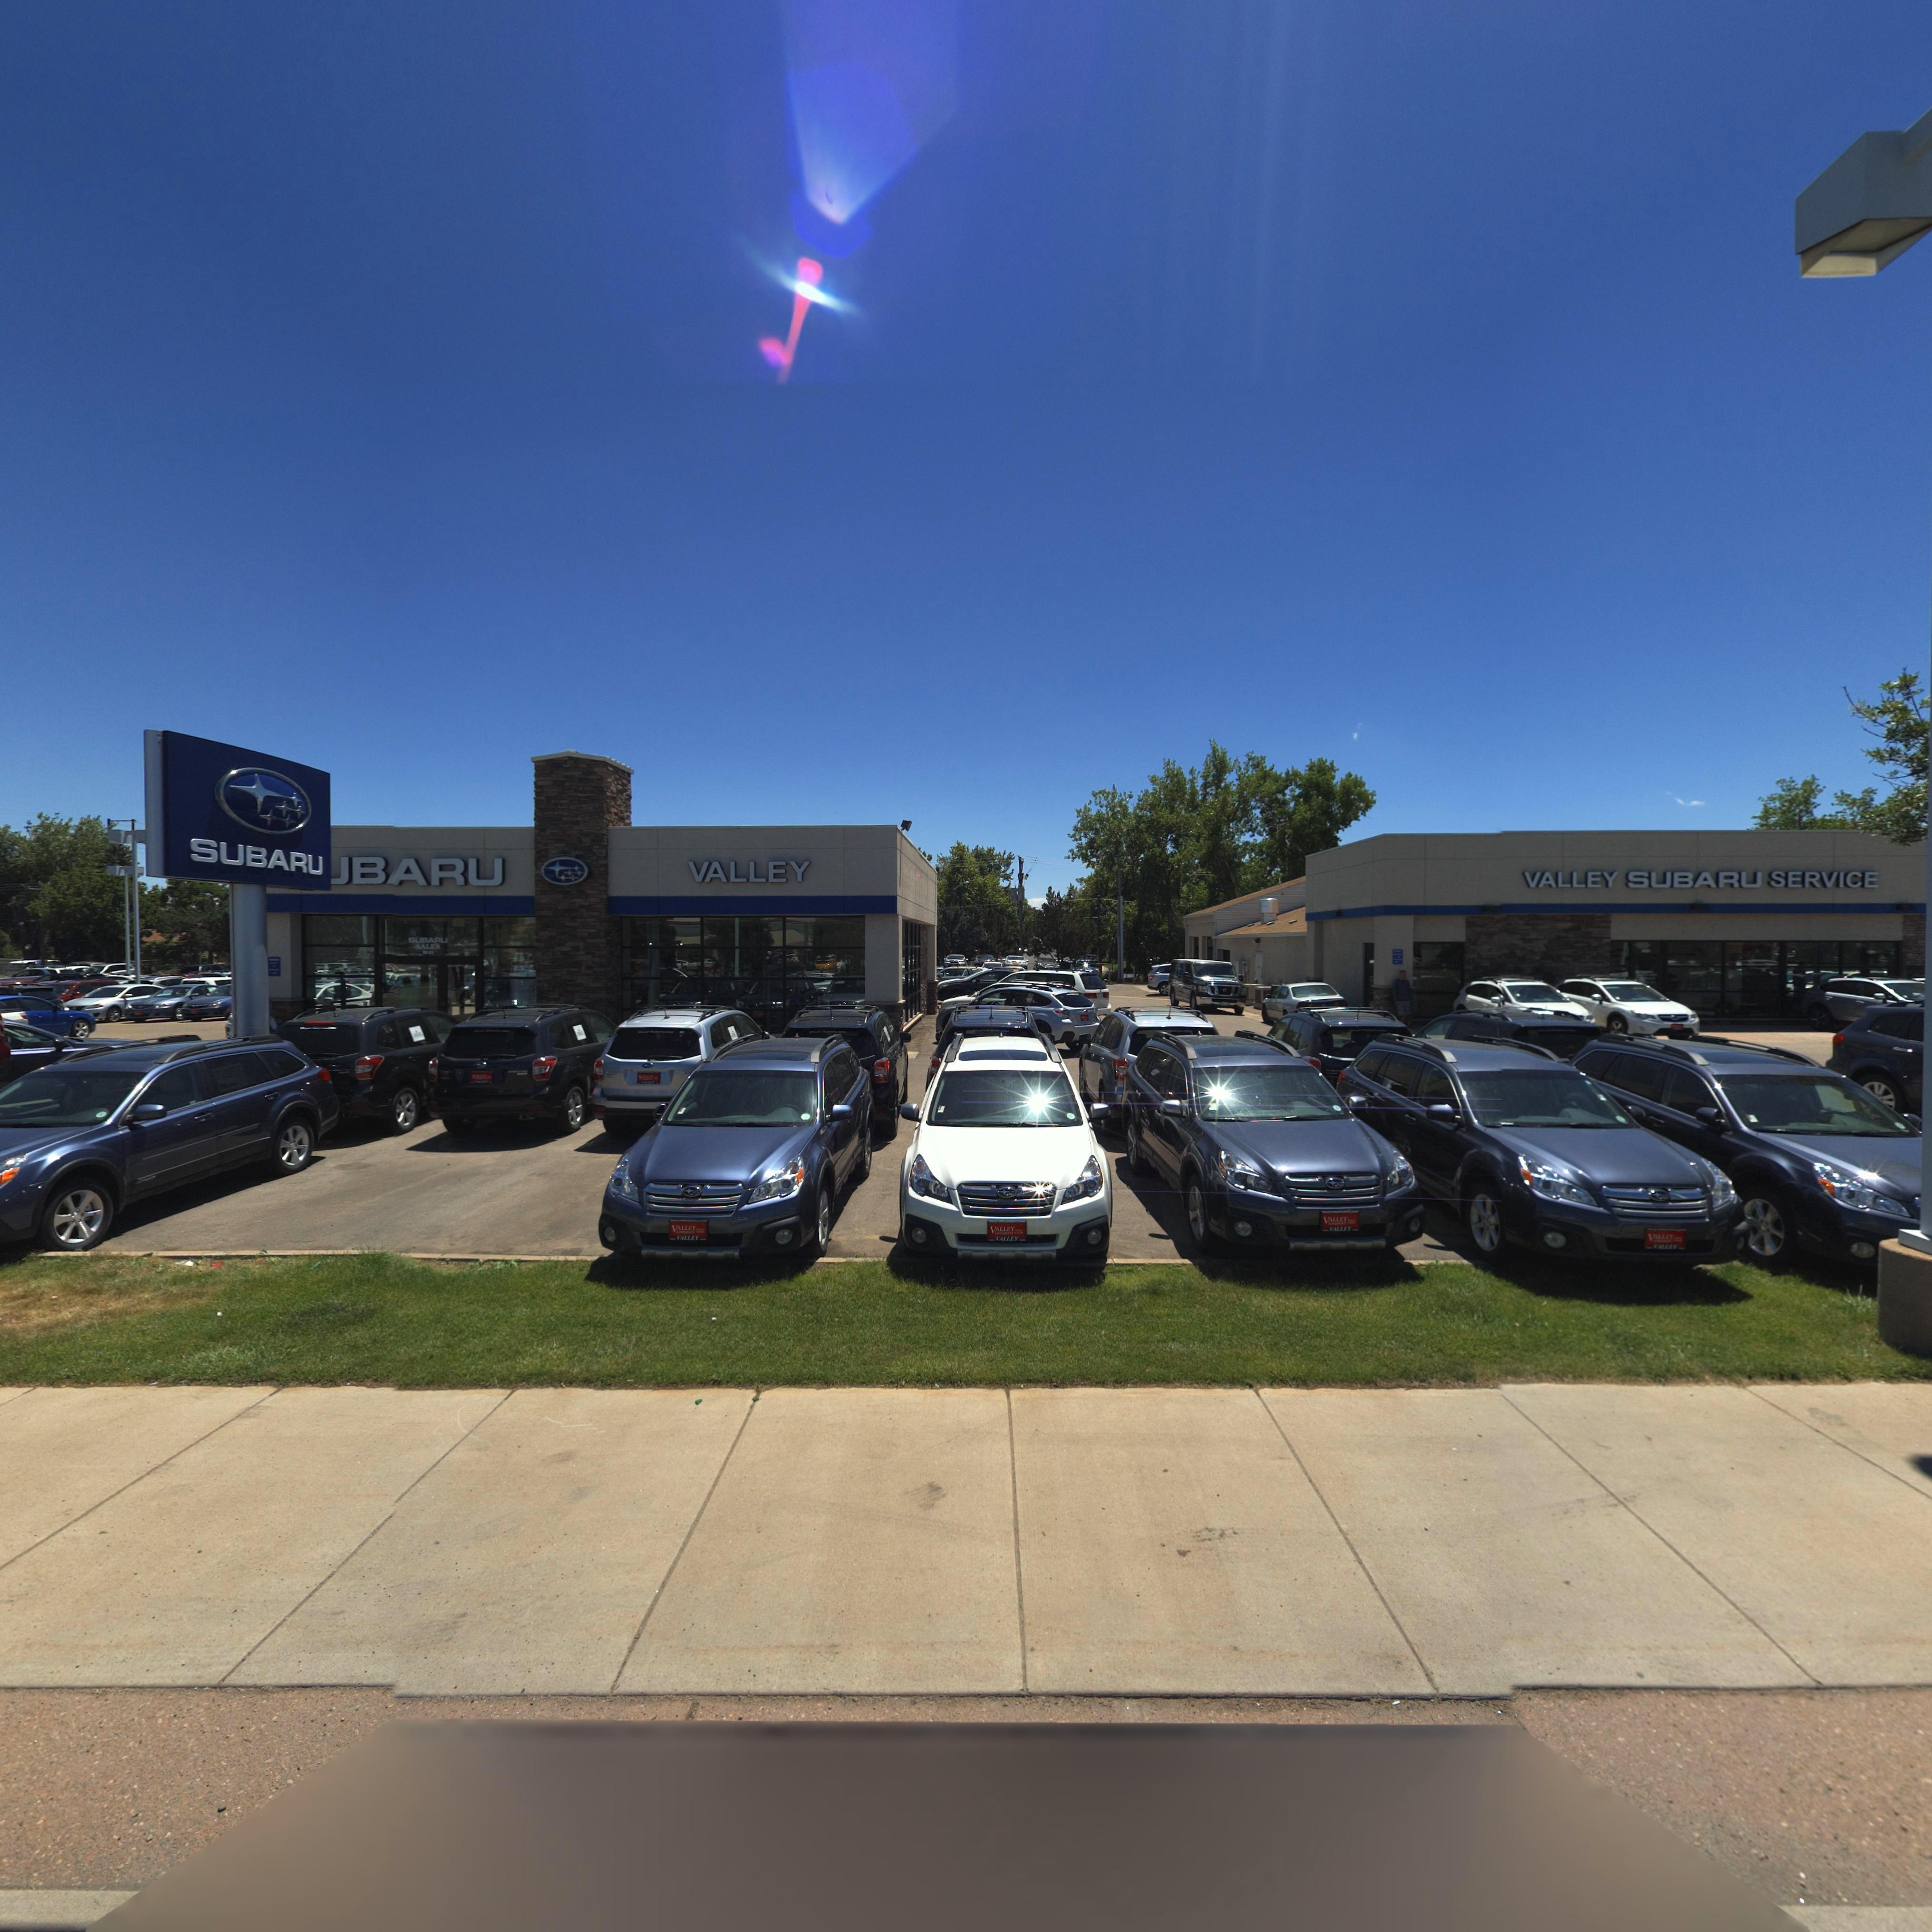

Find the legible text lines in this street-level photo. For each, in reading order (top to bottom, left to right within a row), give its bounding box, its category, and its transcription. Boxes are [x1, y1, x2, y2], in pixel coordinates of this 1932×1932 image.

[190, 837, 324, 876] BusinessName: SUBARU
[330, 856, 504, 887] BusinessName: *BARU
[687, 860, 811, 882] BusinessName: VALLEY
[1521, 870, 1879, 889] BusinessName: VALLEY SUBARU SERVICE
[415, 944, 441, 950] BusinessName: SALES
[408, 937, 448, 943] BusinessName: SUBARU